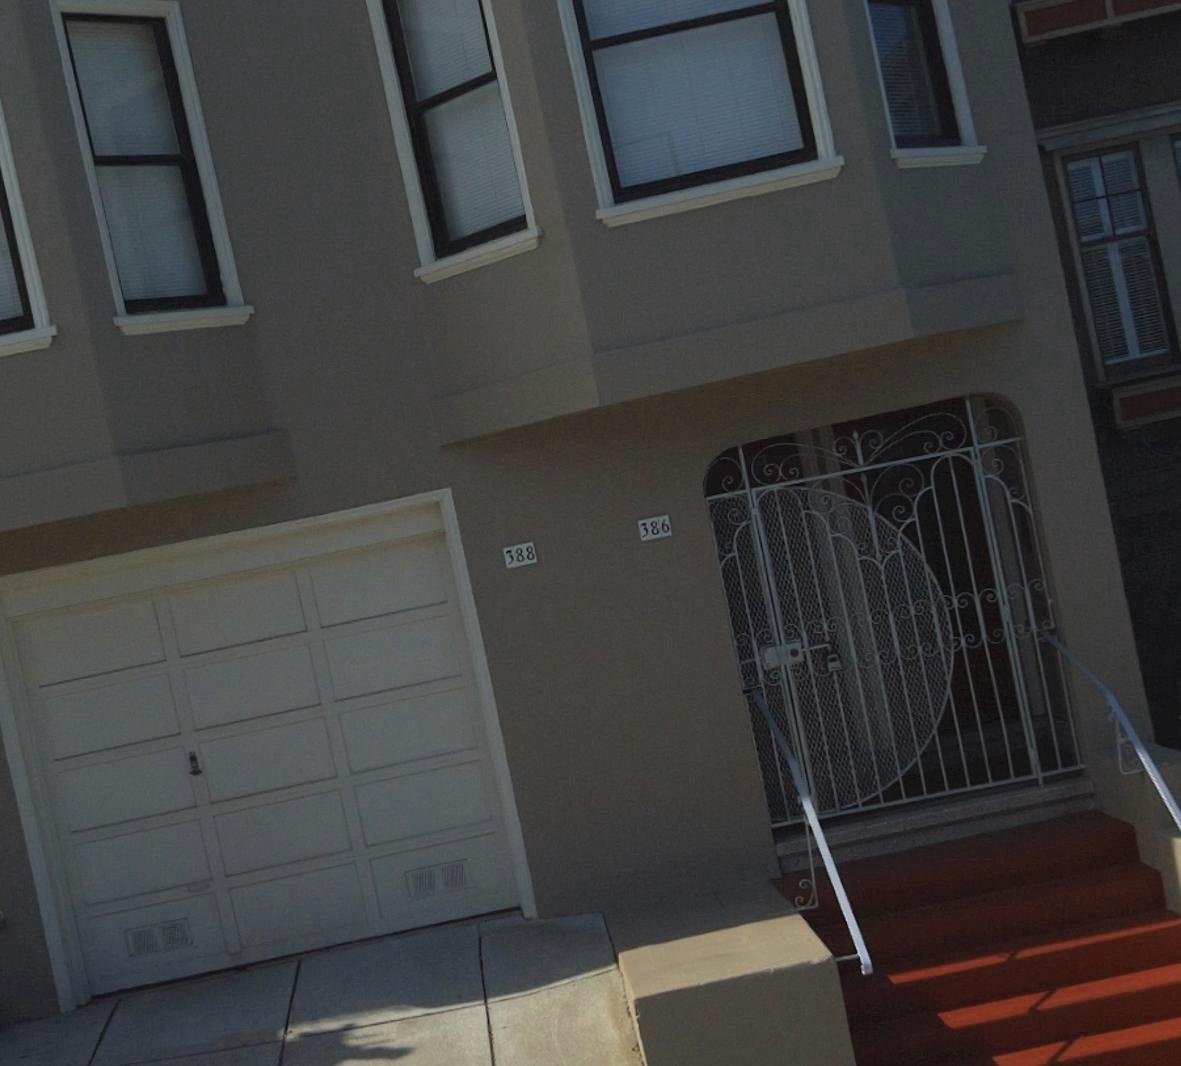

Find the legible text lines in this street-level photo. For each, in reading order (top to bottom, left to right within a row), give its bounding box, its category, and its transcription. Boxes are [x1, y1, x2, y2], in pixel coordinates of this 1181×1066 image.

[639, 518, 671, 540] StreetNumber: 386
[504, 545, 537, 567] StreetNumber: 388